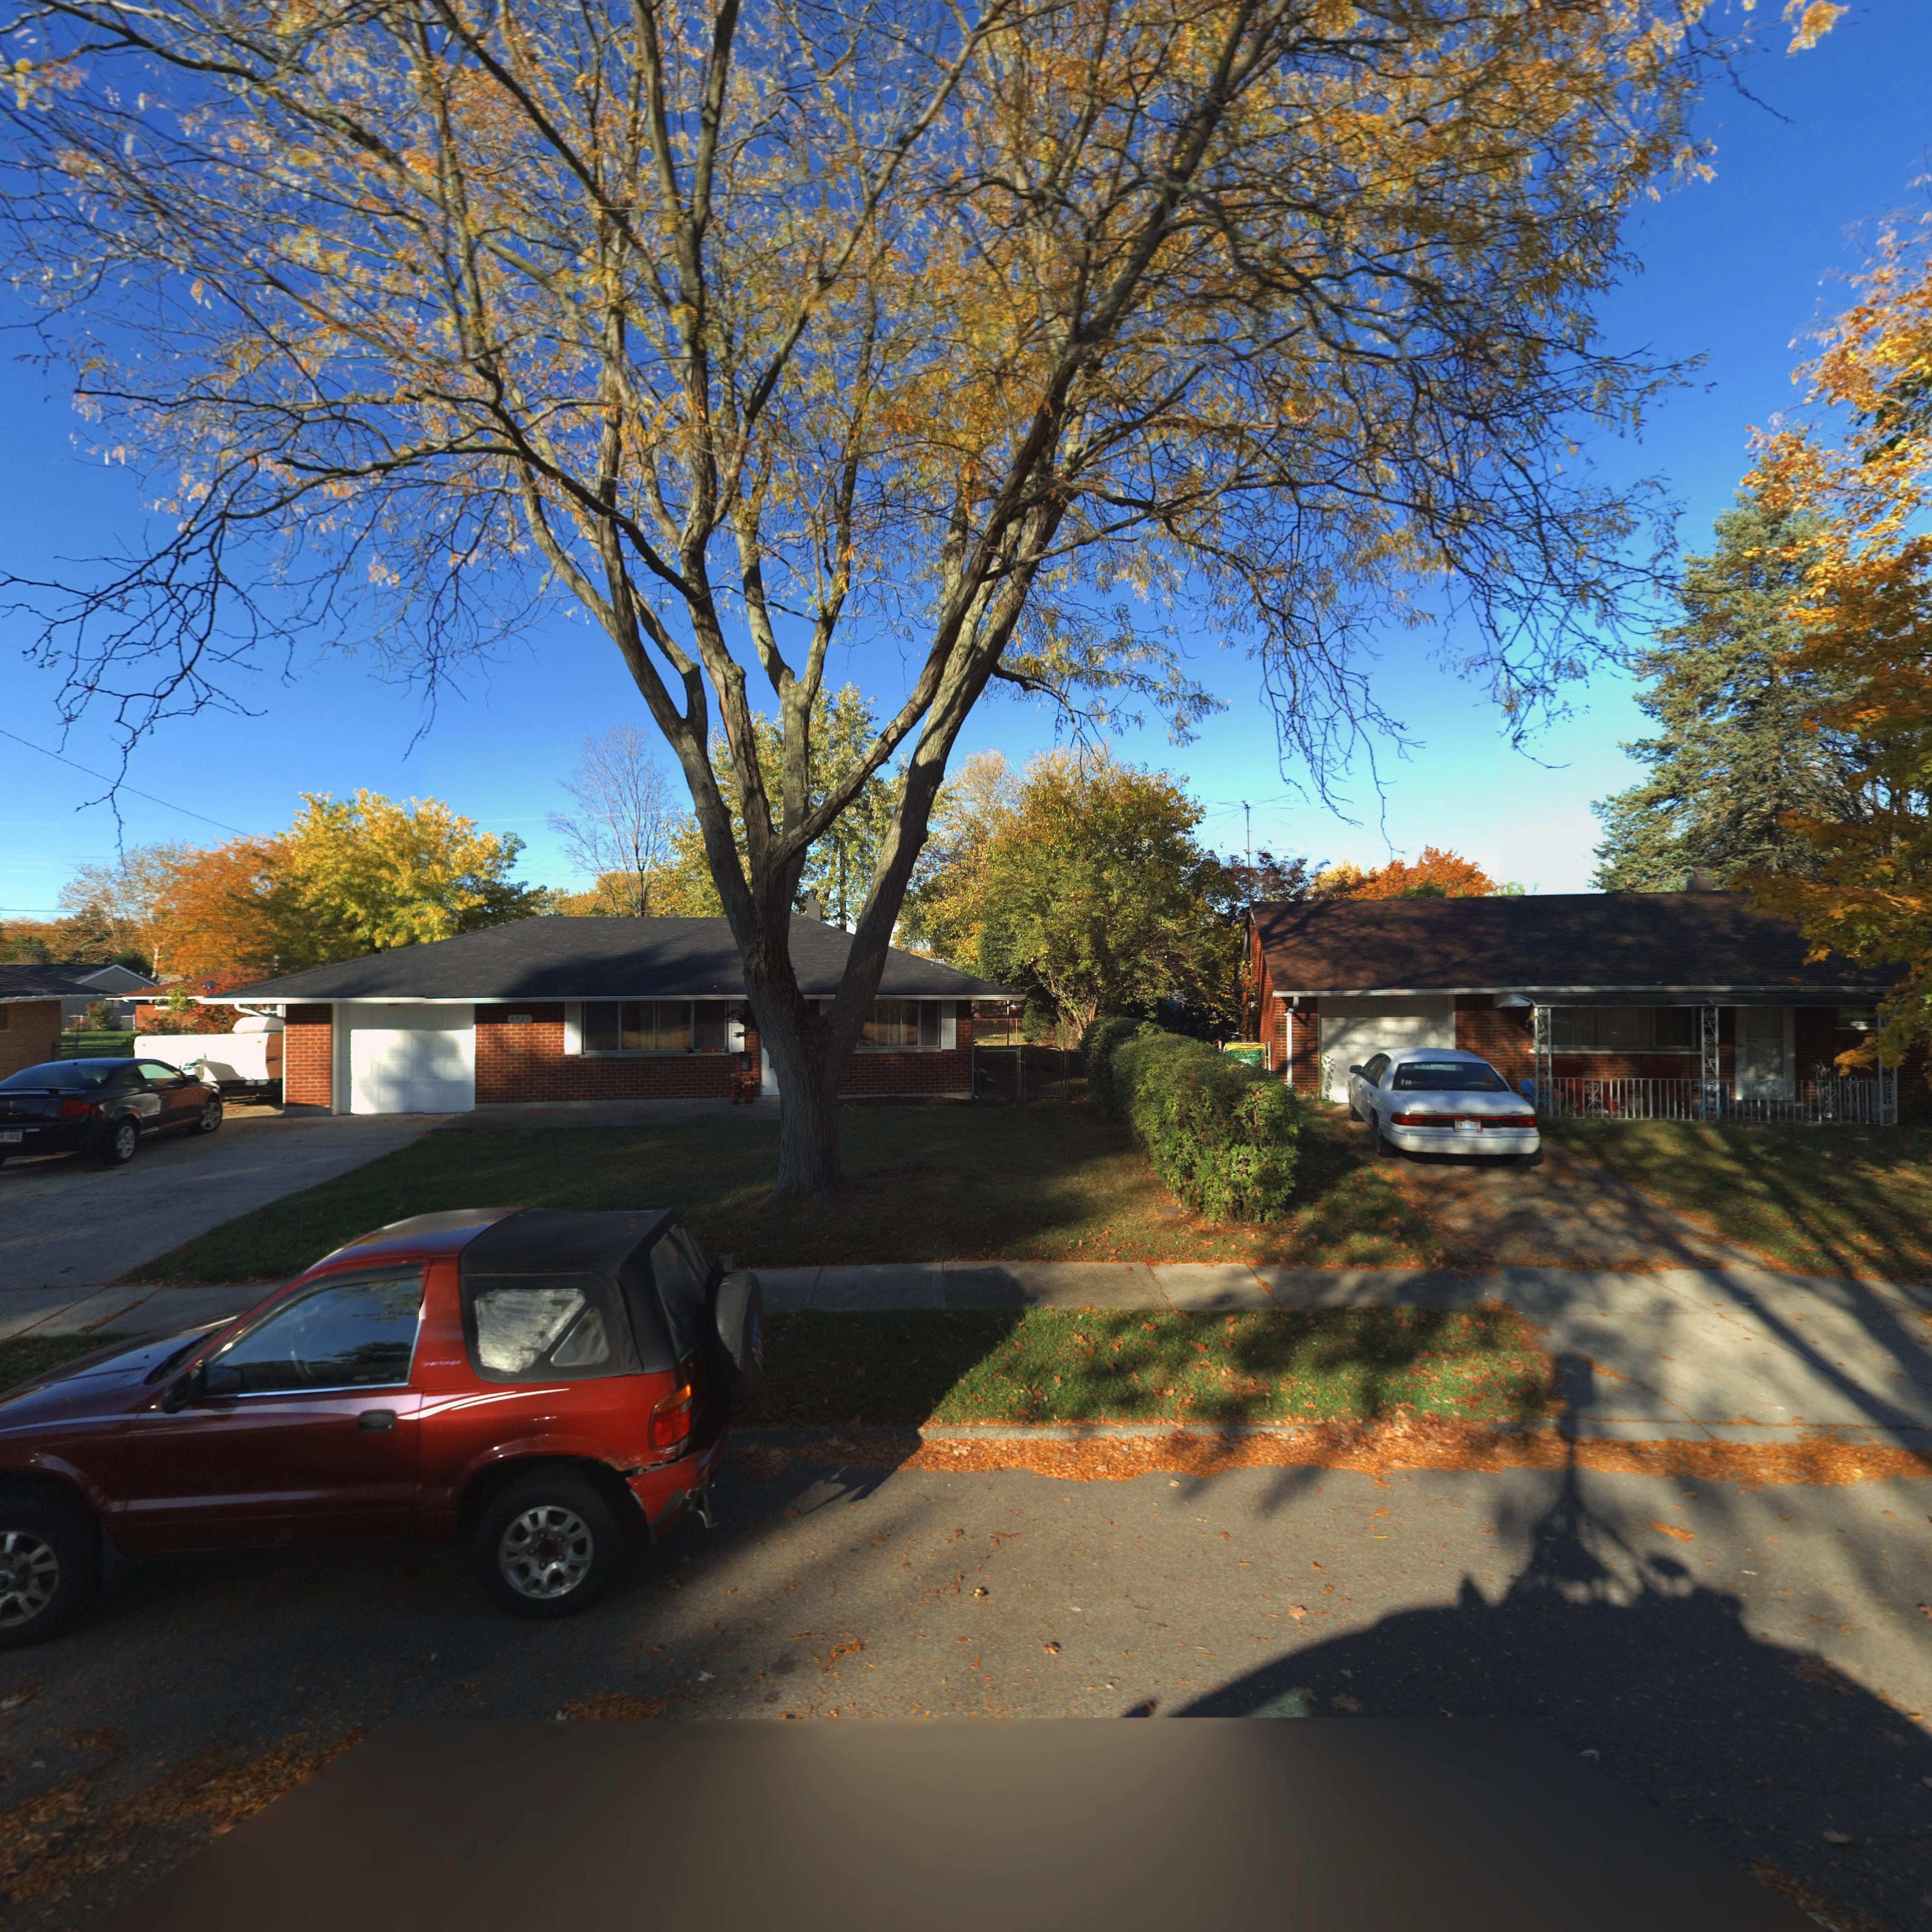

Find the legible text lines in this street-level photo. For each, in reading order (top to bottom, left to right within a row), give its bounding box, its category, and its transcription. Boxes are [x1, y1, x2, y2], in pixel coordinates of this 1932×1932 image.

[510, 1015, 530, 1022] StreetNumber: 4721